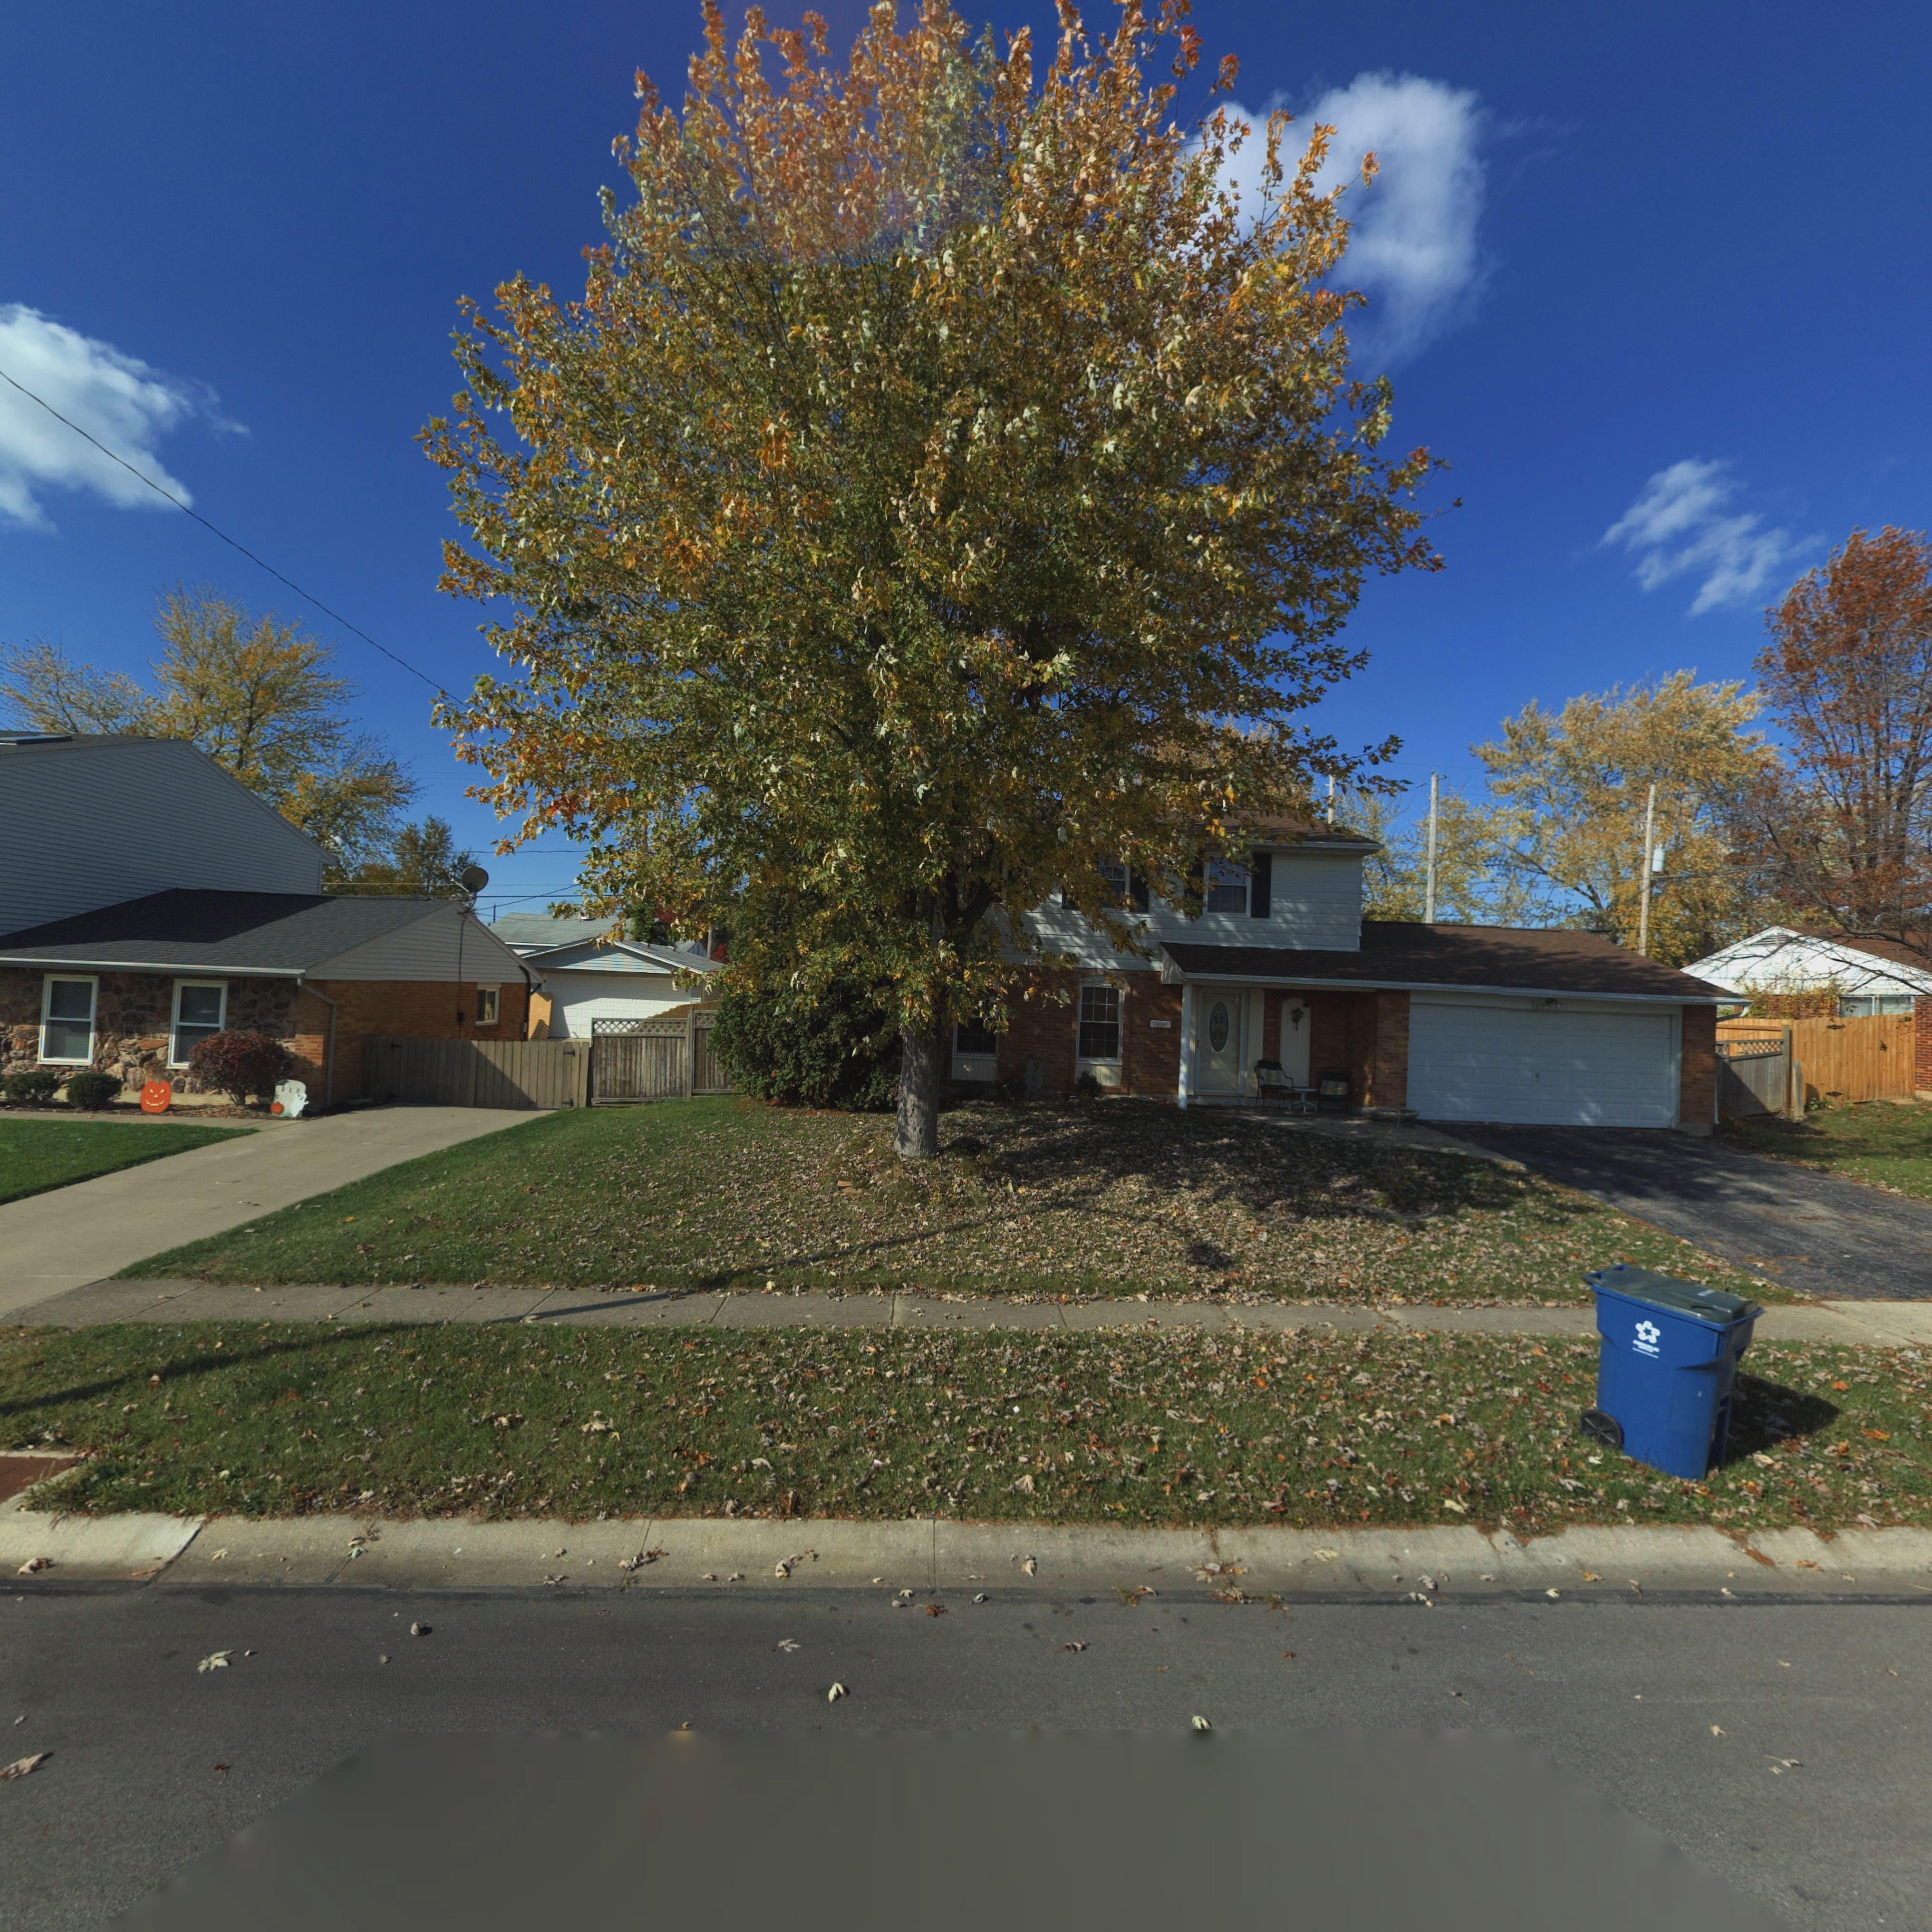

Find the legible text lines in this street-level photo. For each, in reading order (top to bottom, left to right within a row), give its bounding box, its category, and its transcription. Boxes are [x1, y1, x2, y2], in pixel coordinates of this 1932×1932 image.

[1529, 1001, 1545, 1011] StreetNumber: 7**